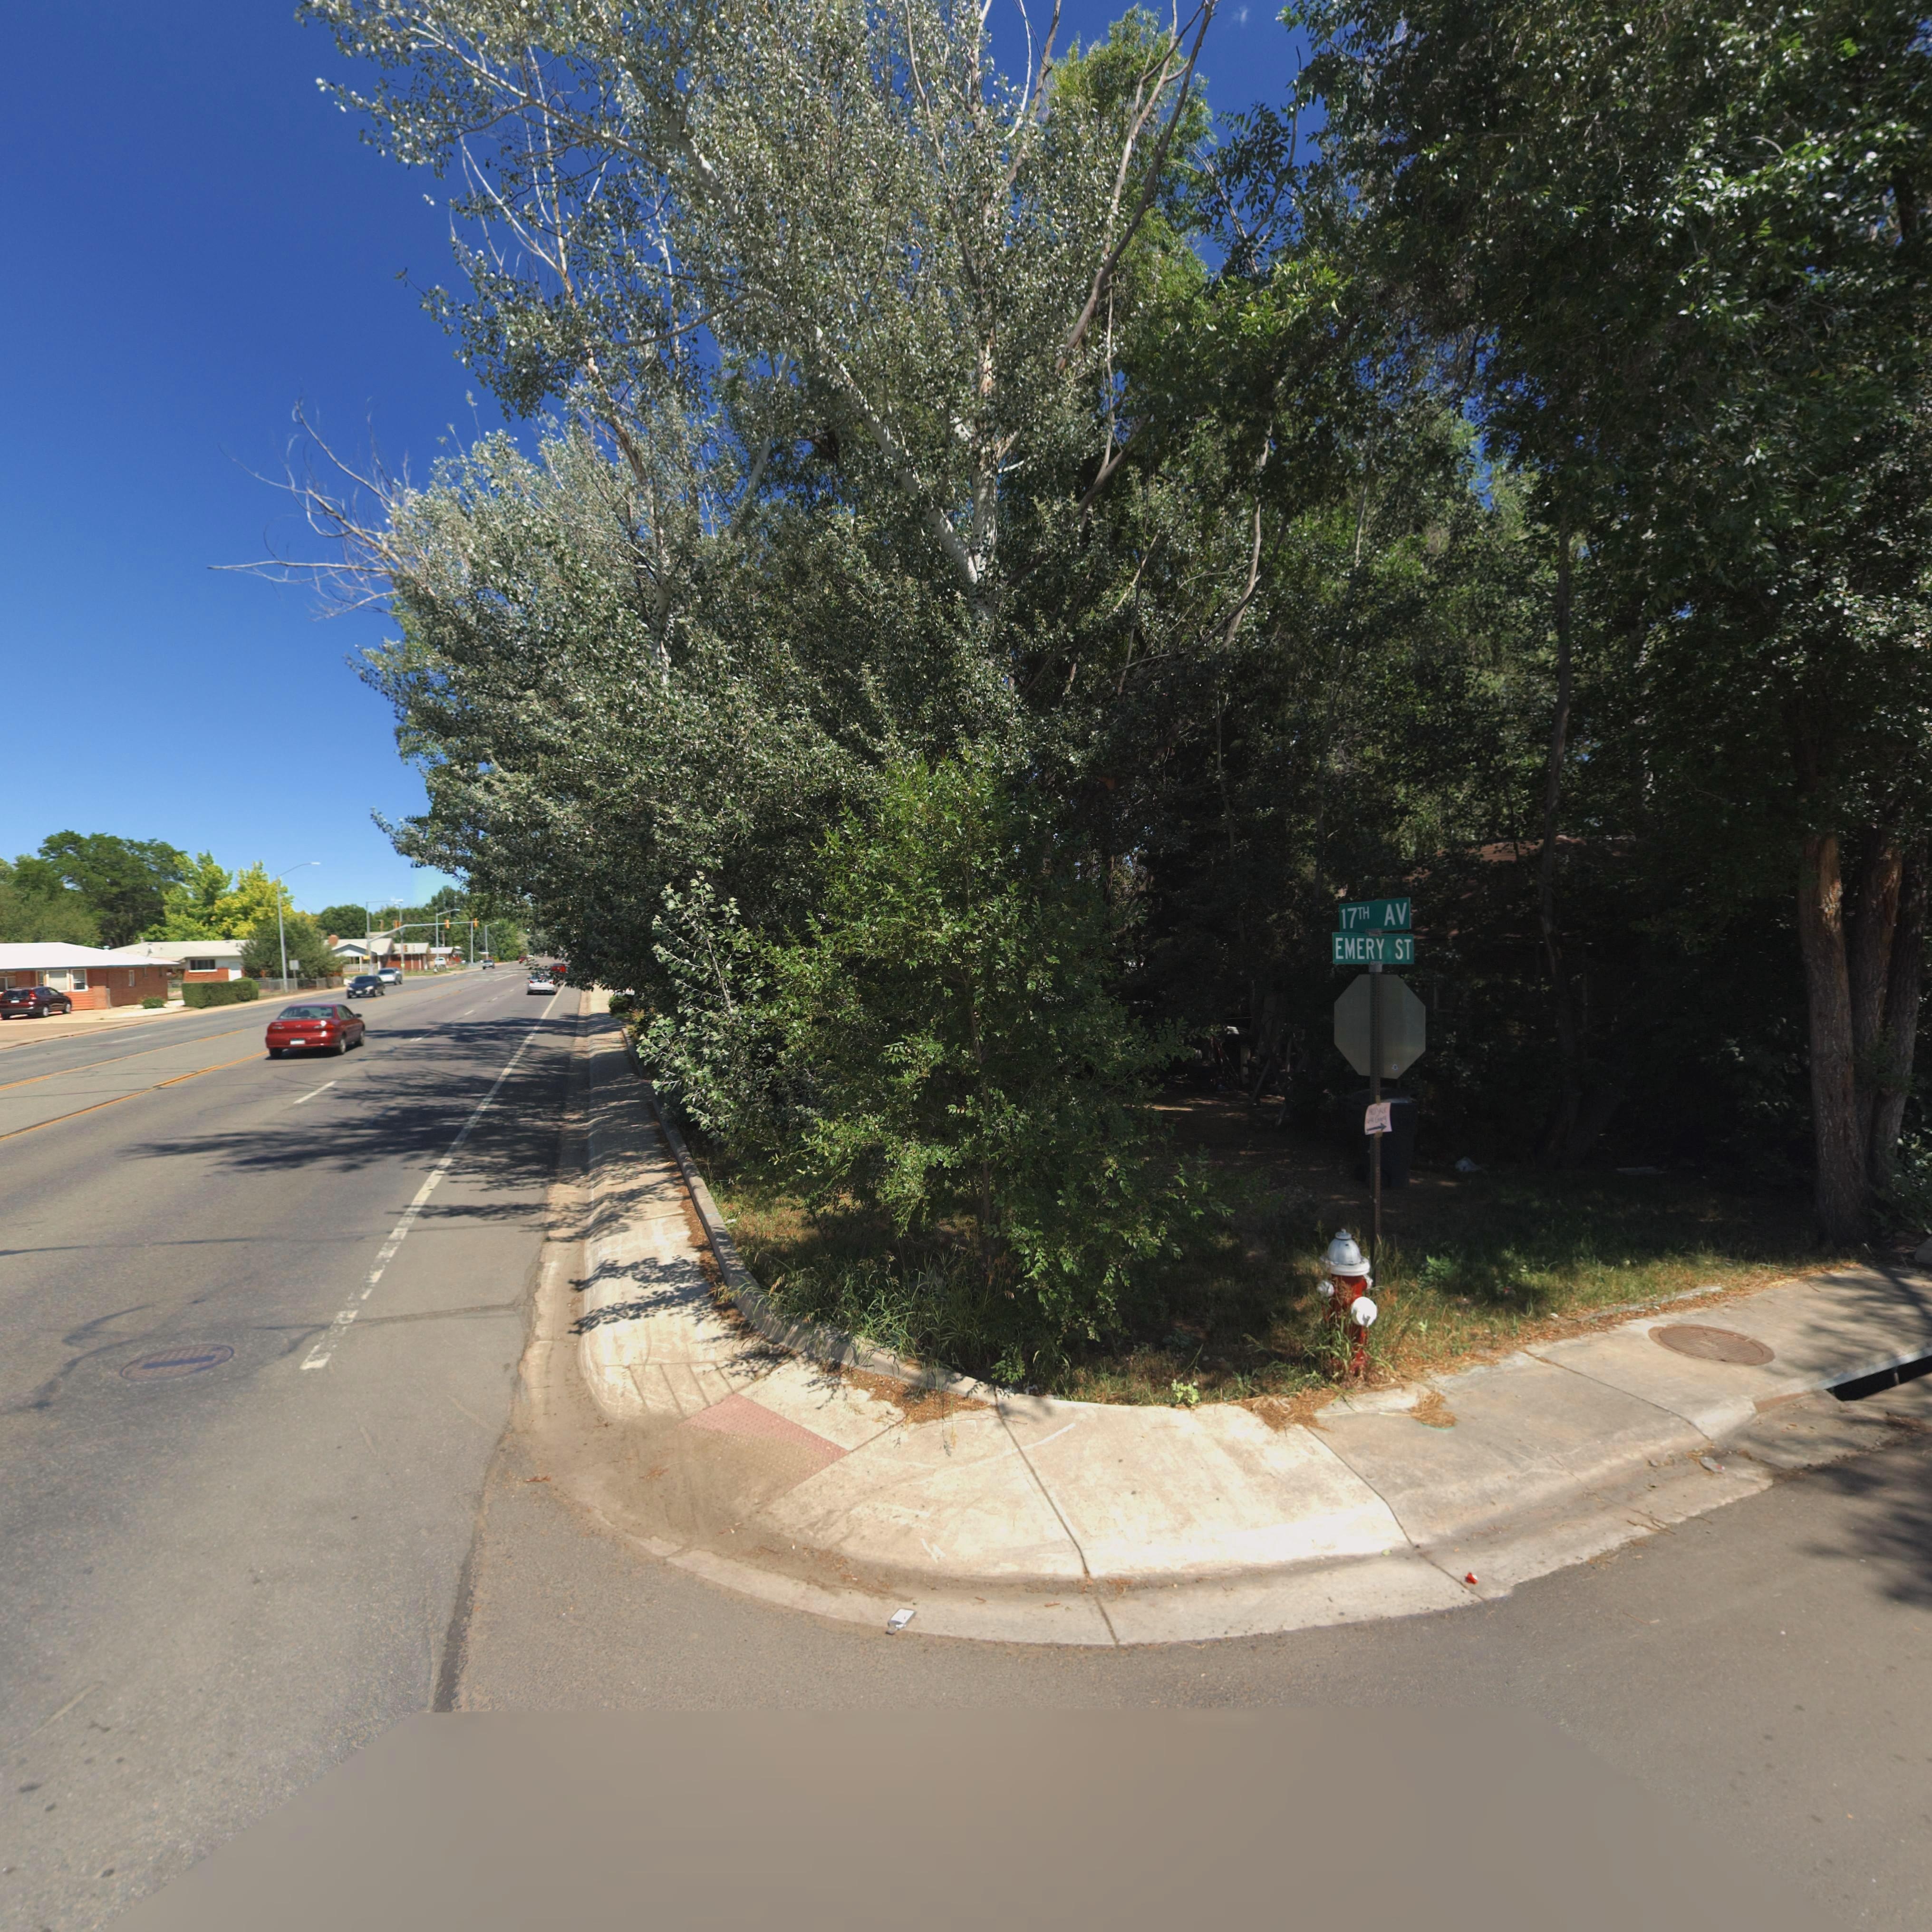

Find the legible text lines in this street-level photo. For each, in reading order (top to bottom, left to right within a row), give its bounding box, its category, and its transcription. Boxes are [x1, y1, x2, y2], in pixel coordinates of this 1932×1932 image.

[1341, 902, 1407, 929] StreetName: 17TH AV
[1335, 937, 1411, 960] StreetName: EMERY ST